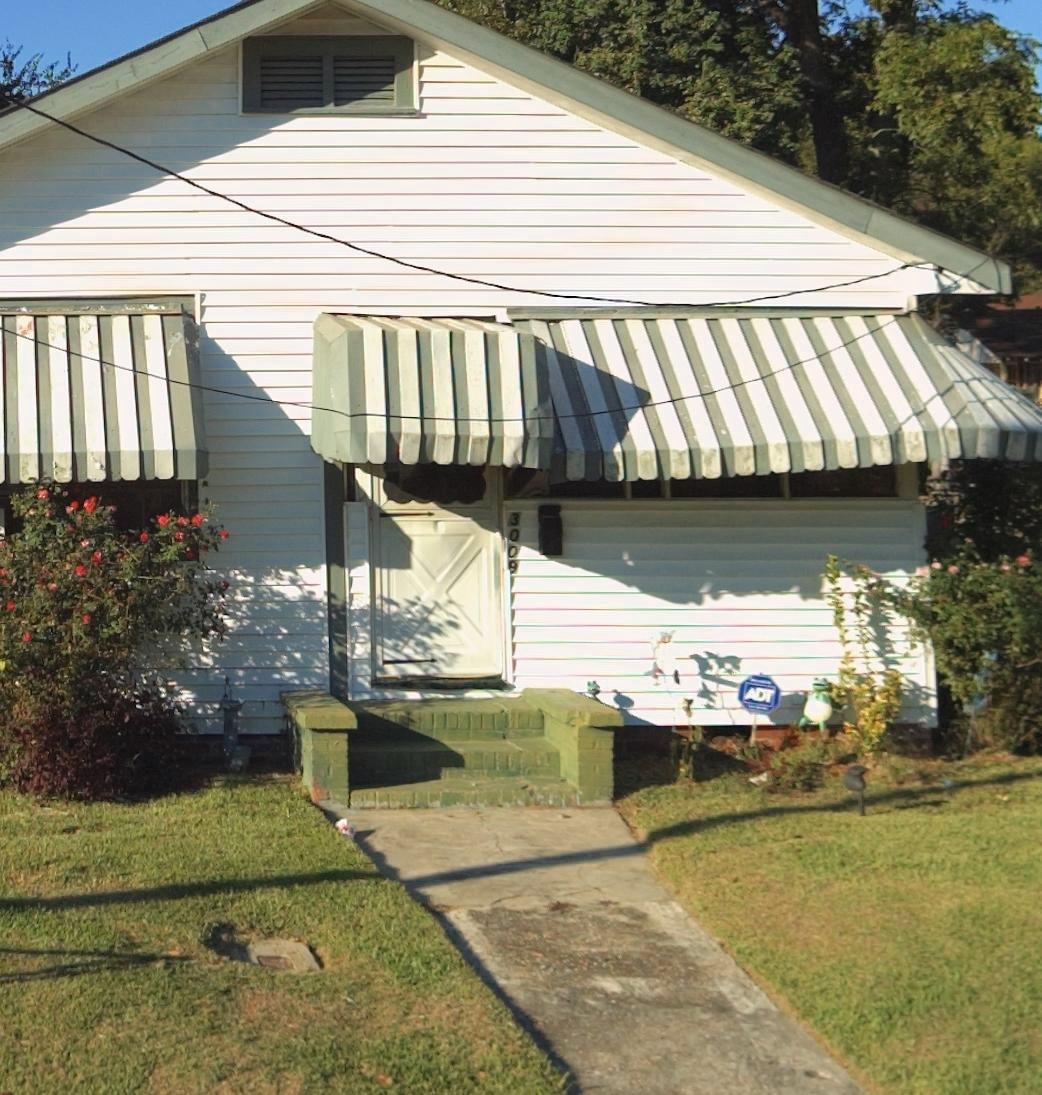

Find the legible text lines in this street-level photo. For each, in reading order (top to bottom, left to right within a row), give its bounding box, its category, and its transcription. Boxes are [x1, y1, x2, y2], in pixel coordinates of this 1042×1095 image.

[506, 510, 523, 575] StreetNumber: 3009
[741, 684, 778, 706] None: ADT